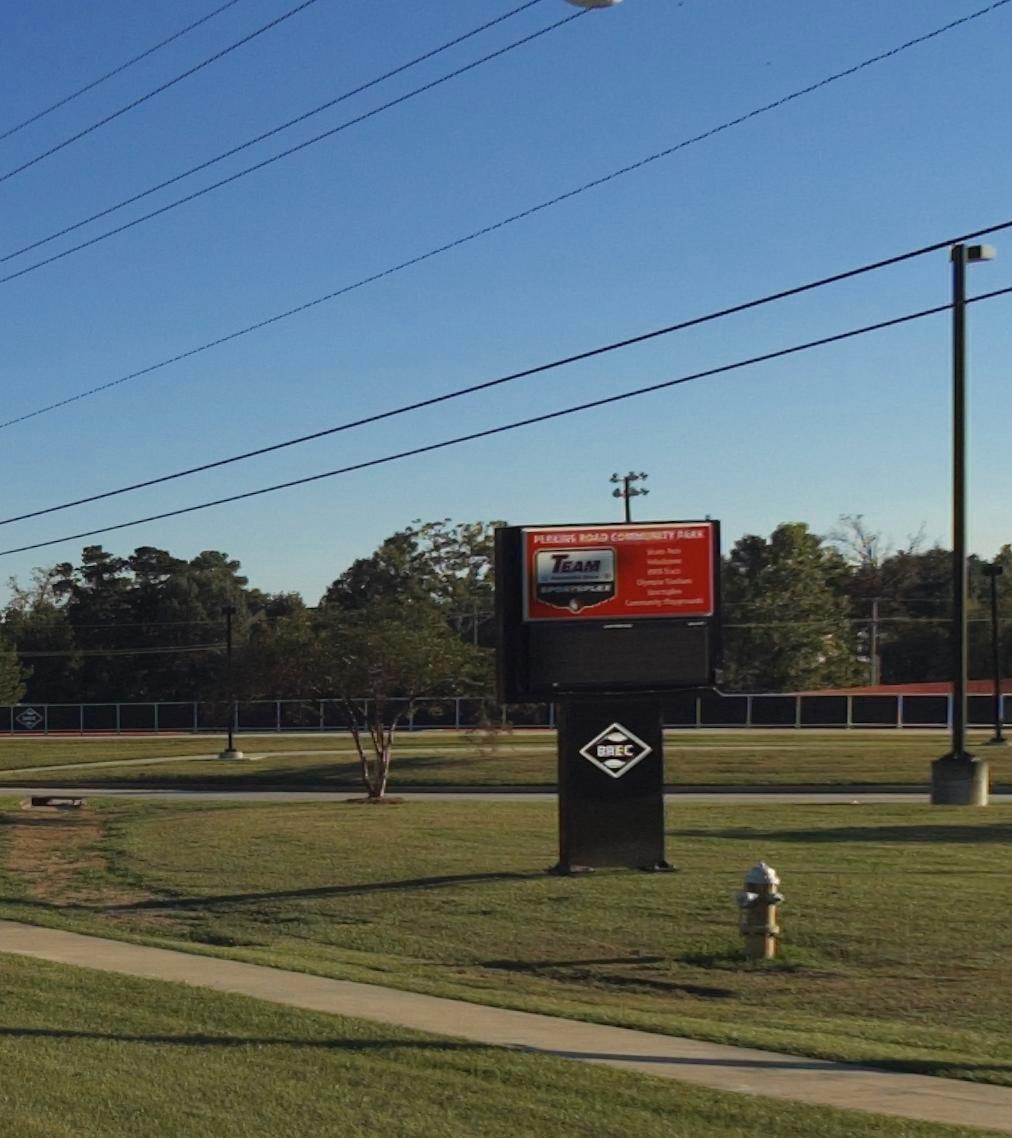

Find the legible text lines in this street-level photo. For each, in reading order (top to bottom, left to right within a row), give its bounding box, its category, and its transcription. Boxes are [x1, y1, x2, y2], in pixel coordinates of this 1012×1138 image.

[531, 527, 706, 547] BusinessName: PERK**S ROAD CO****ITY PARK
[550, 553, 602, 575] None: TEAM
[595, 743, 636, 759] None: BREC